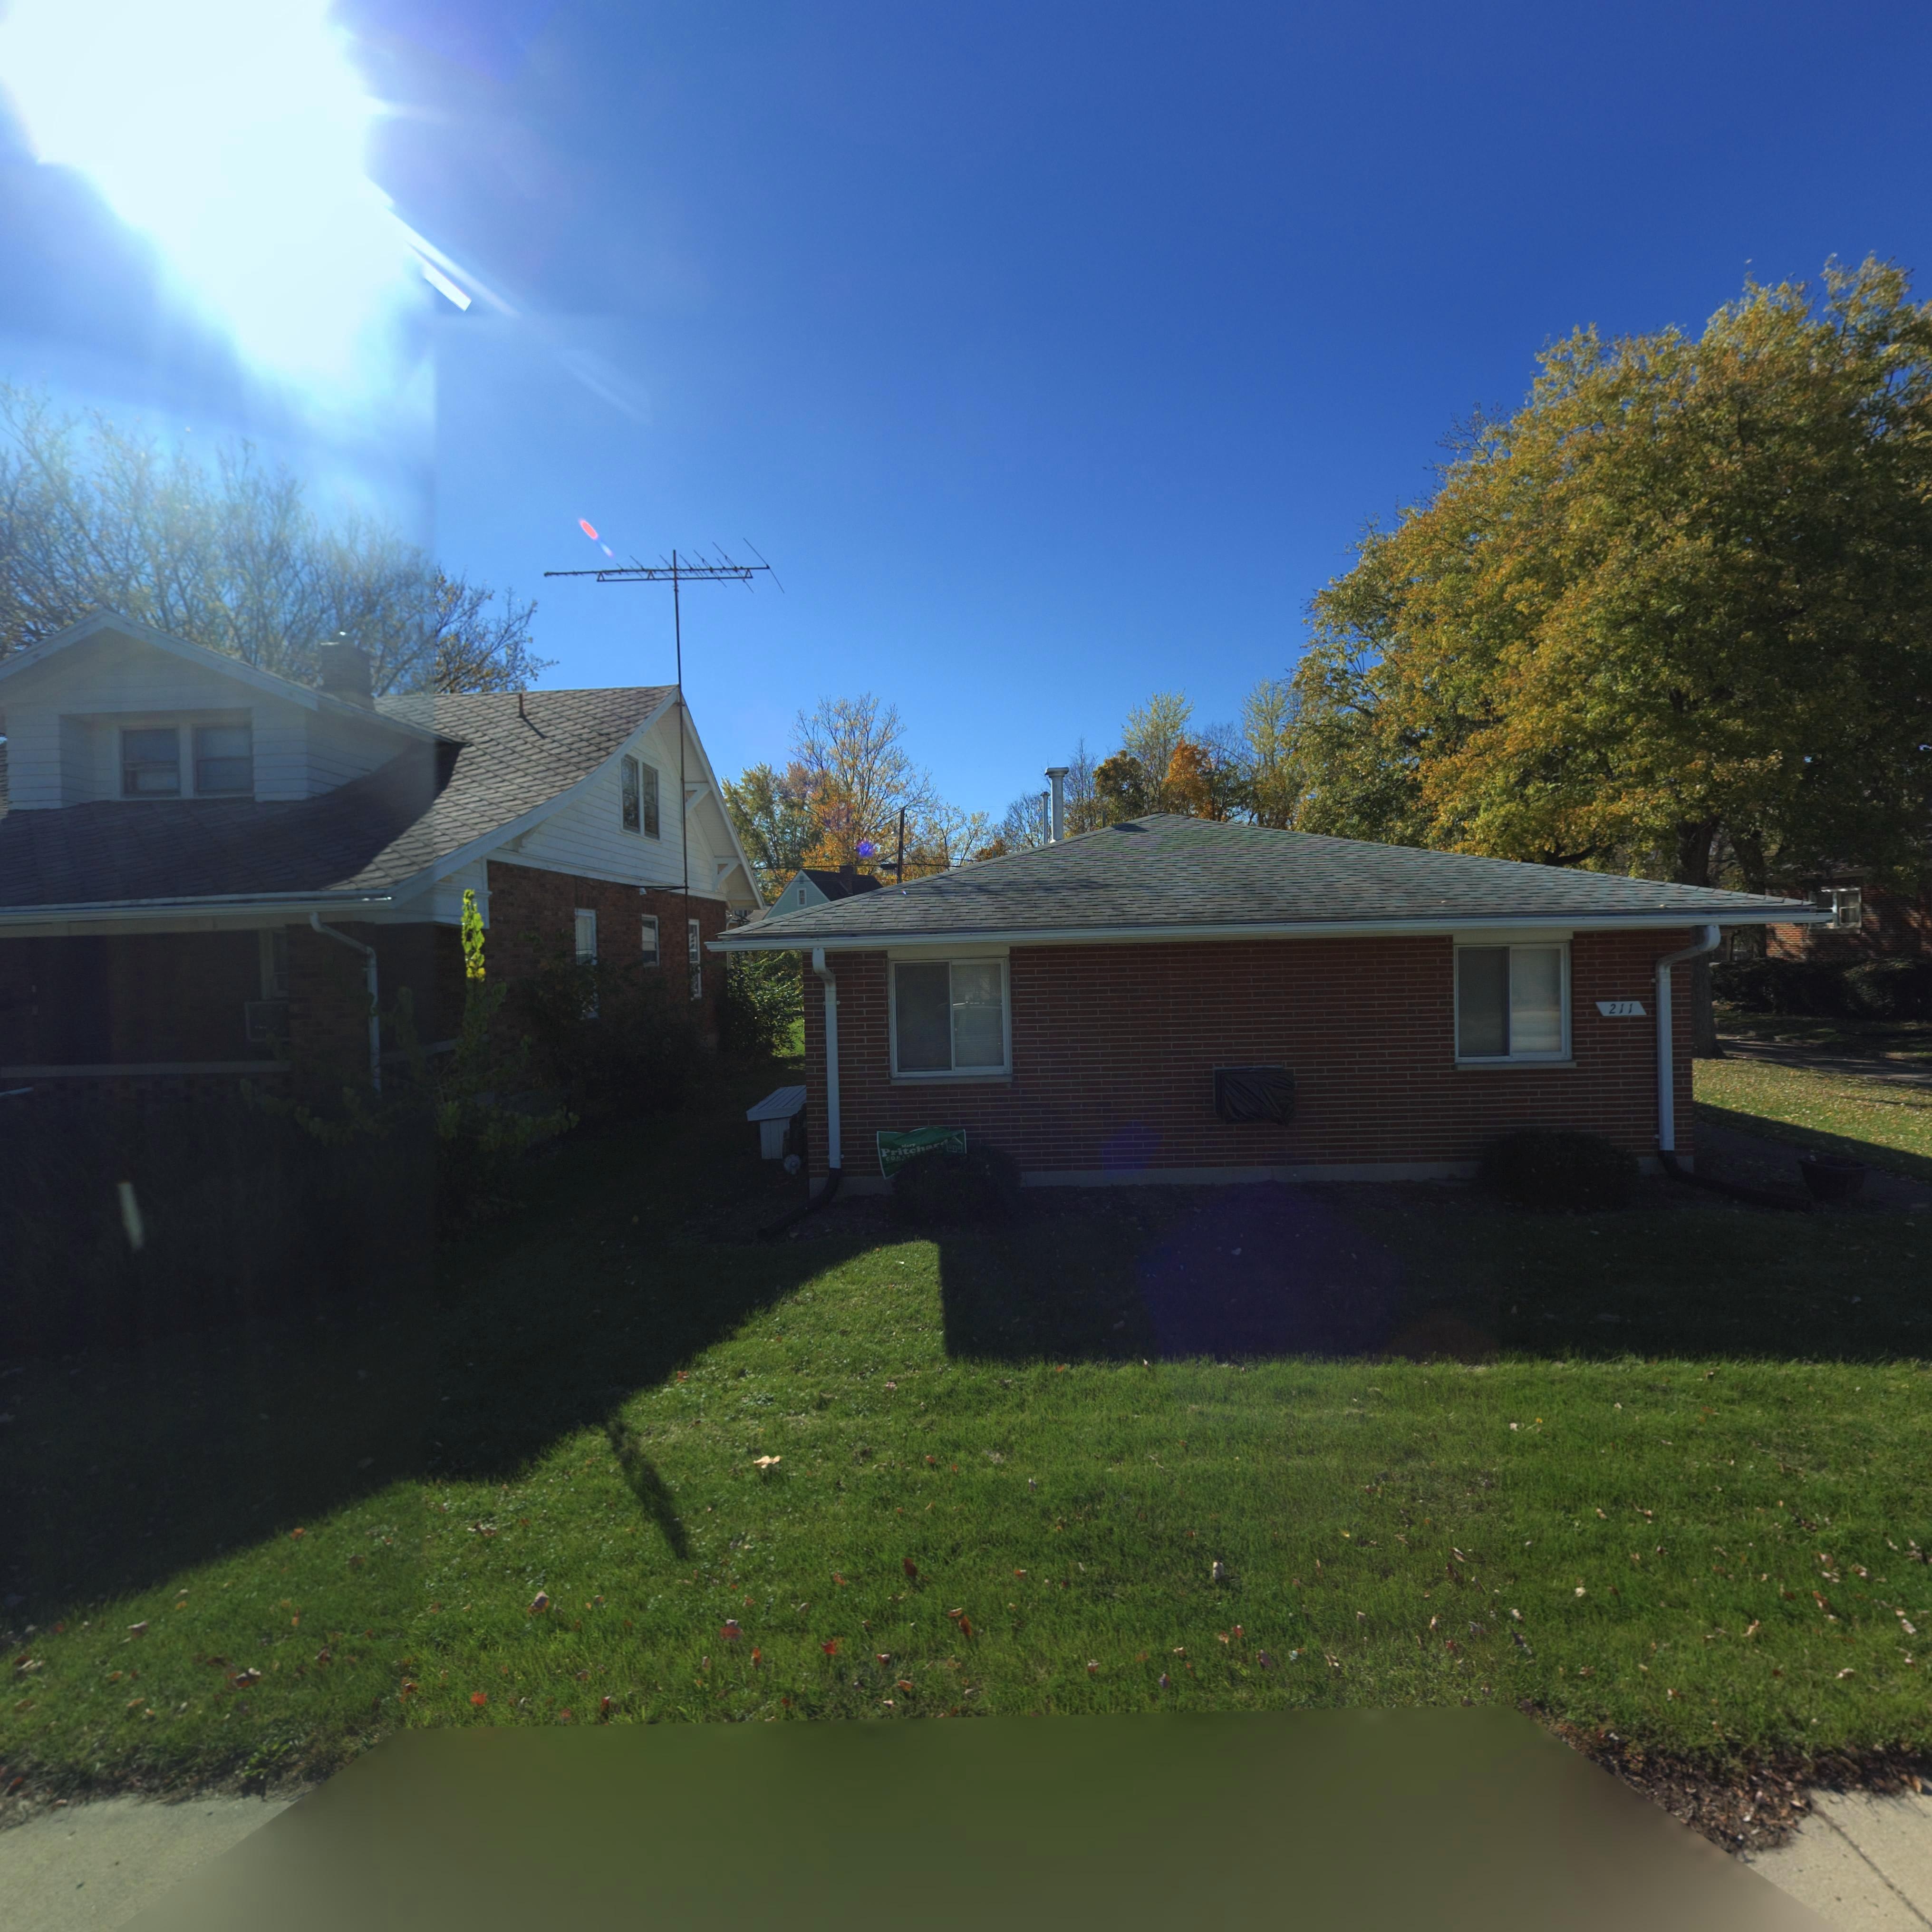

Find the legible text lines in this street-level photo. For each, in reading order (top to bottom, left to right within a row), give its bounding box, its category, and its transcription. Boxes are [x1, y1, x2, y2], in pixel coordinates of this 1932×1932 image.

[1607, 1001, 1634, 1016] StreetNumber: 211